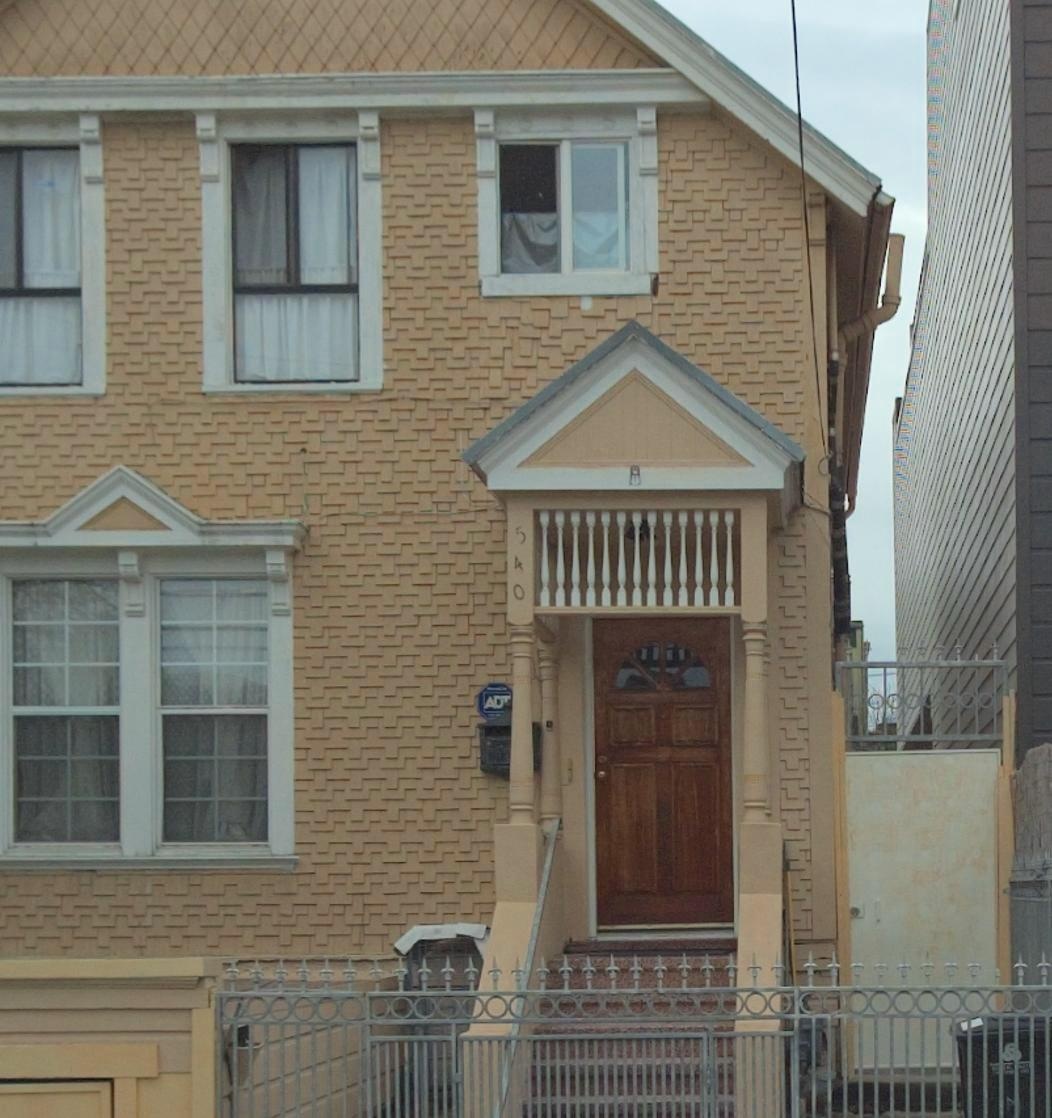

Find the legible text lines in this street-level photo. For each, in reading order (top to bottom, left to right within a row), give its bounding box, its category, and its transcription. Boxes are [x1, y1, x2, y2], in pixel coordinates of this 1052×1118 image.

[512, 521, 528, 602] StreetNumber: 540
[482, 695, 511, 710] None: AD*